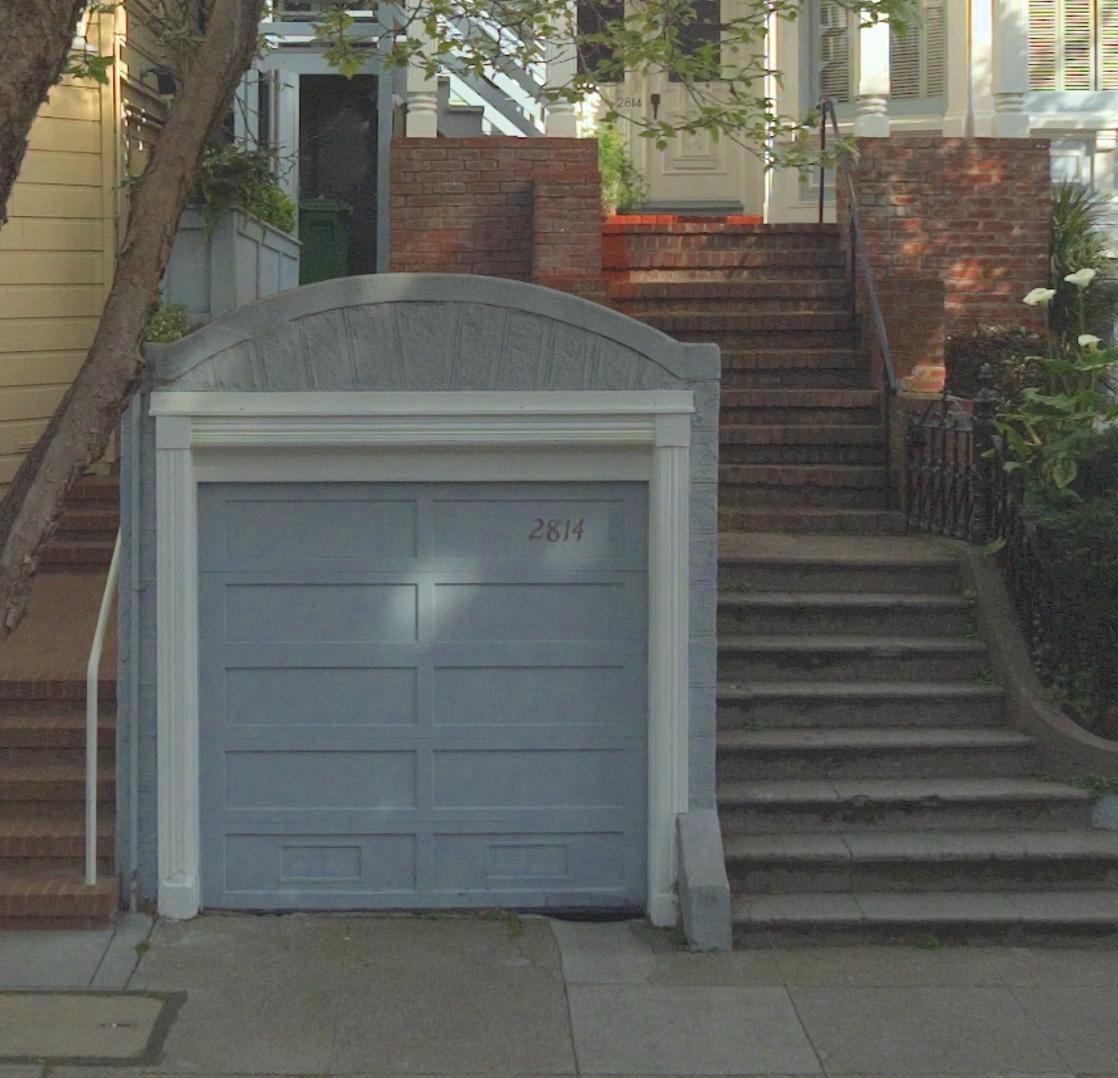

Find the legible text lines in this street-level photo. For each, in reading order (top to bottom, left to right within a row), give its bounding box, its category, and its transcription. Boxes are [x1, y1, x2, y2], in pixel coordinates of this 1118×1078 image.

[526, 516, 587, 544] StreetNumber: 2814